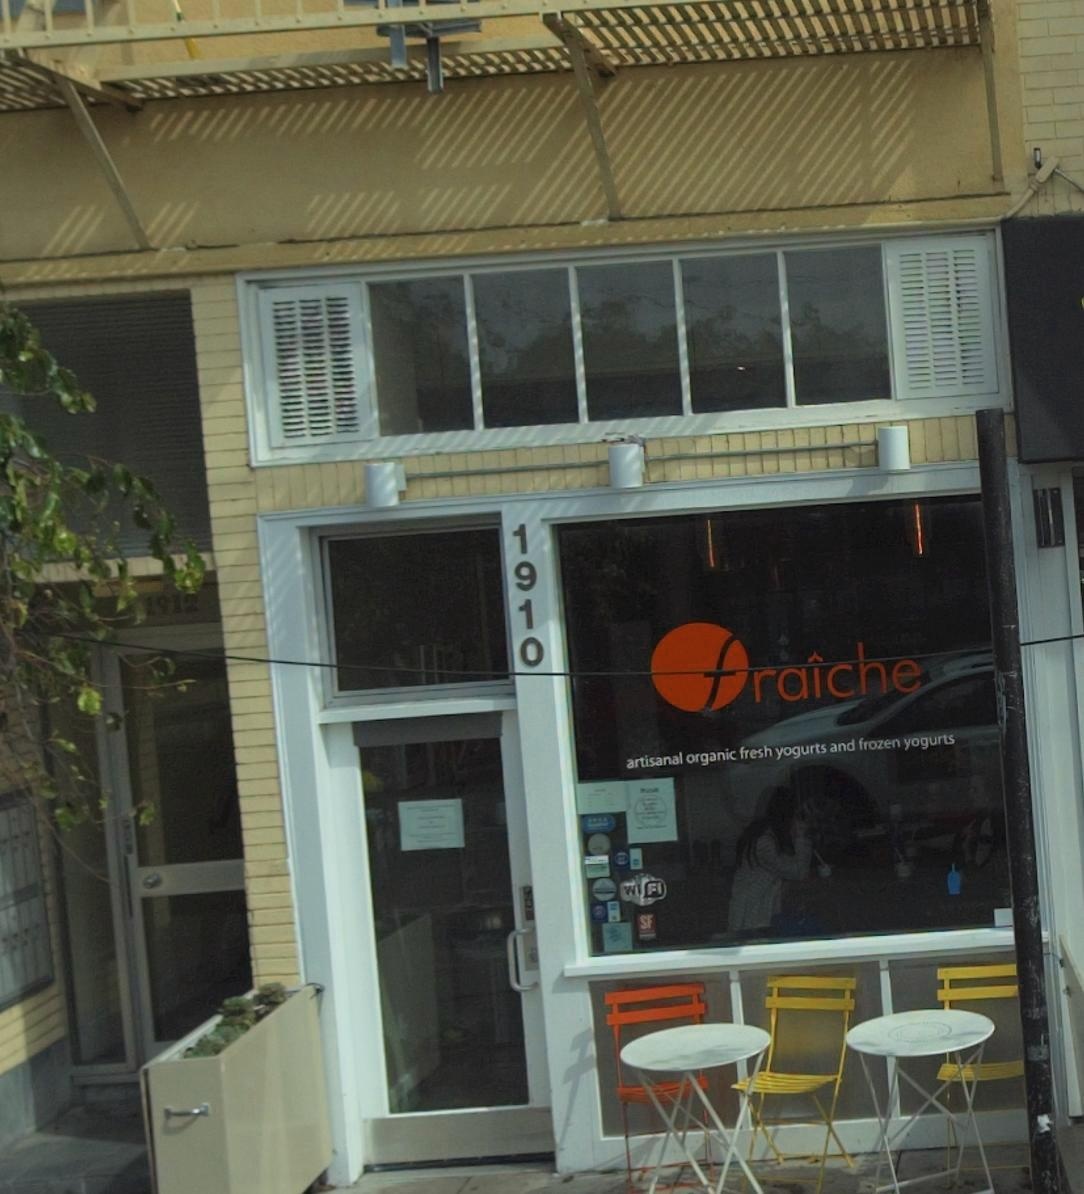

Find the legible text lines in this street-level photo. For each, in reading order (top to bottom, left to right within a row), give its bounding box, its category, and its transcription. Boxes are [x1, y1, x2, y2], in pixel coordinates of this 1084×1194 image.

[142, 589, 204, 621] StreetNumber: 1912
[506, 520, 548, 674] StreetNumber: 1910
[695, 631, 926, 716] BusinessName: fraiche
[623, 731, 958, 772] None: artisanal organic fresh yogurts and frozen yogurts
[620, 878, 665, 901] None: WiFi
[637, 911, 657, 933] None: SF